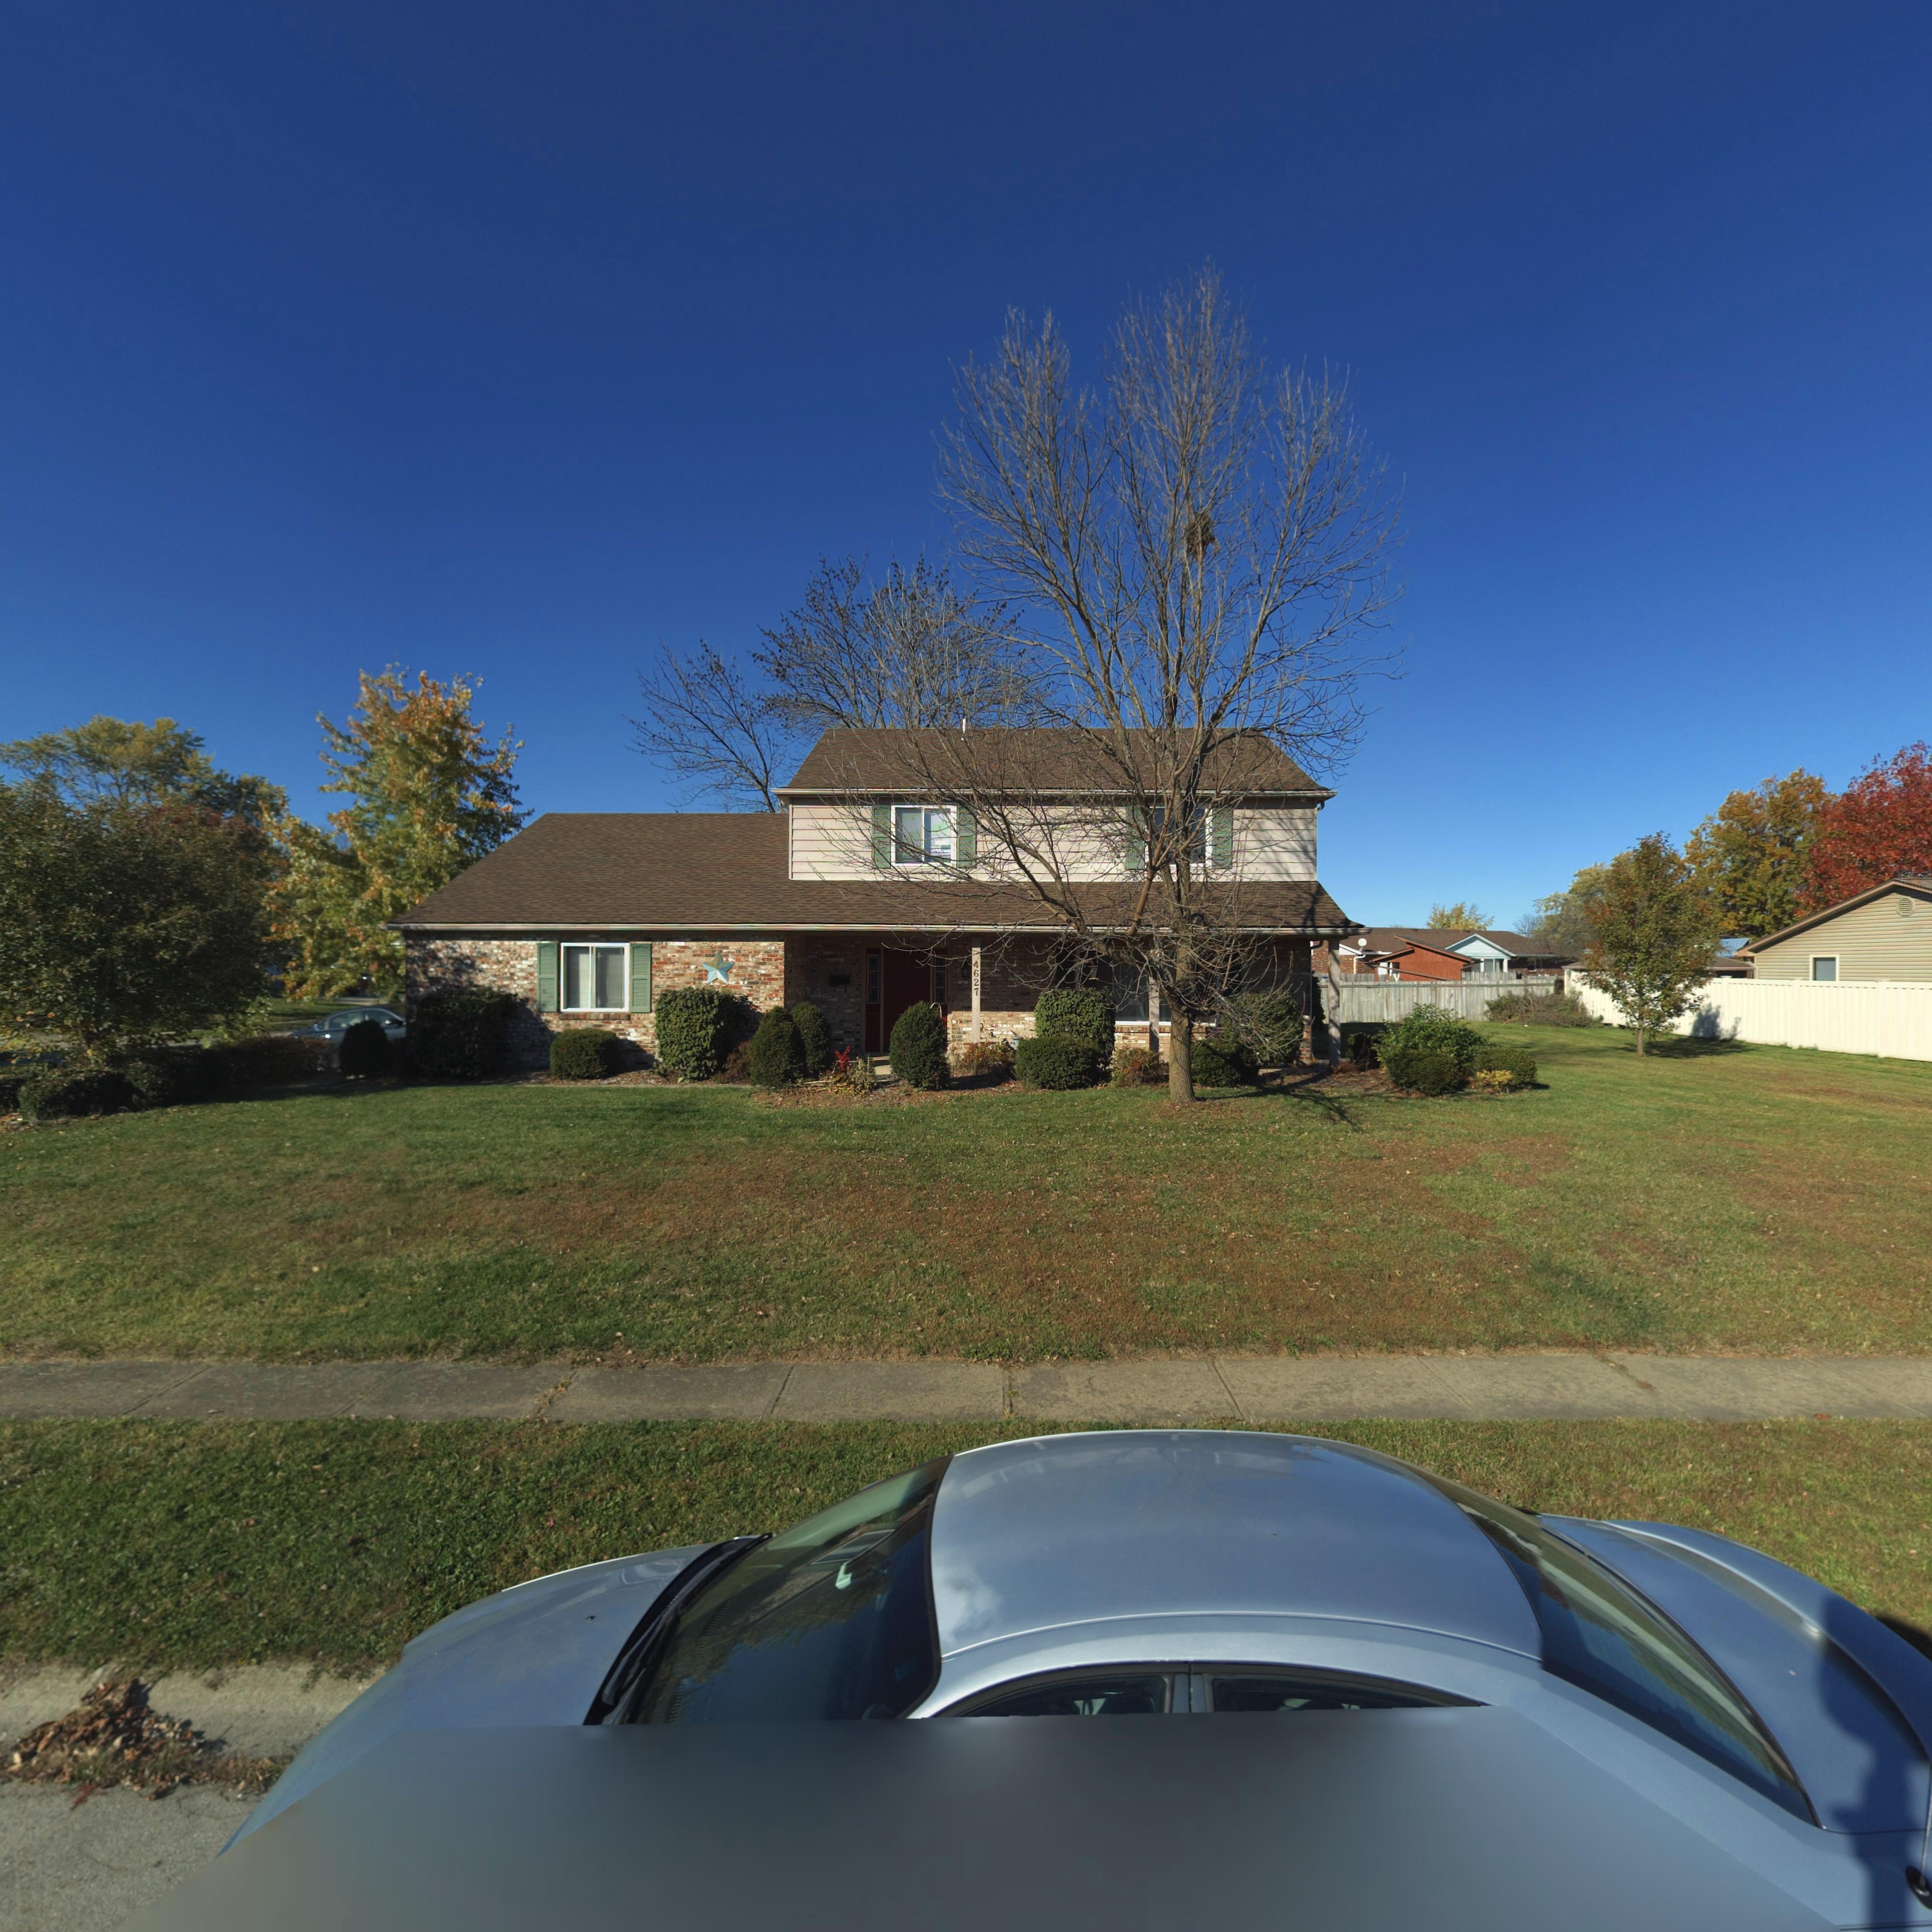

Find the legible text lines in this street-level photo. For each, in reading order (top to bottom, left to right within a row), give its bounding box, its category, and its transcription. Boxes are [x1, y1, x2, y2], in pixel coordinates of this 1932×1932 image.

[973, 960, 979, 996] StreetNumber: 4627